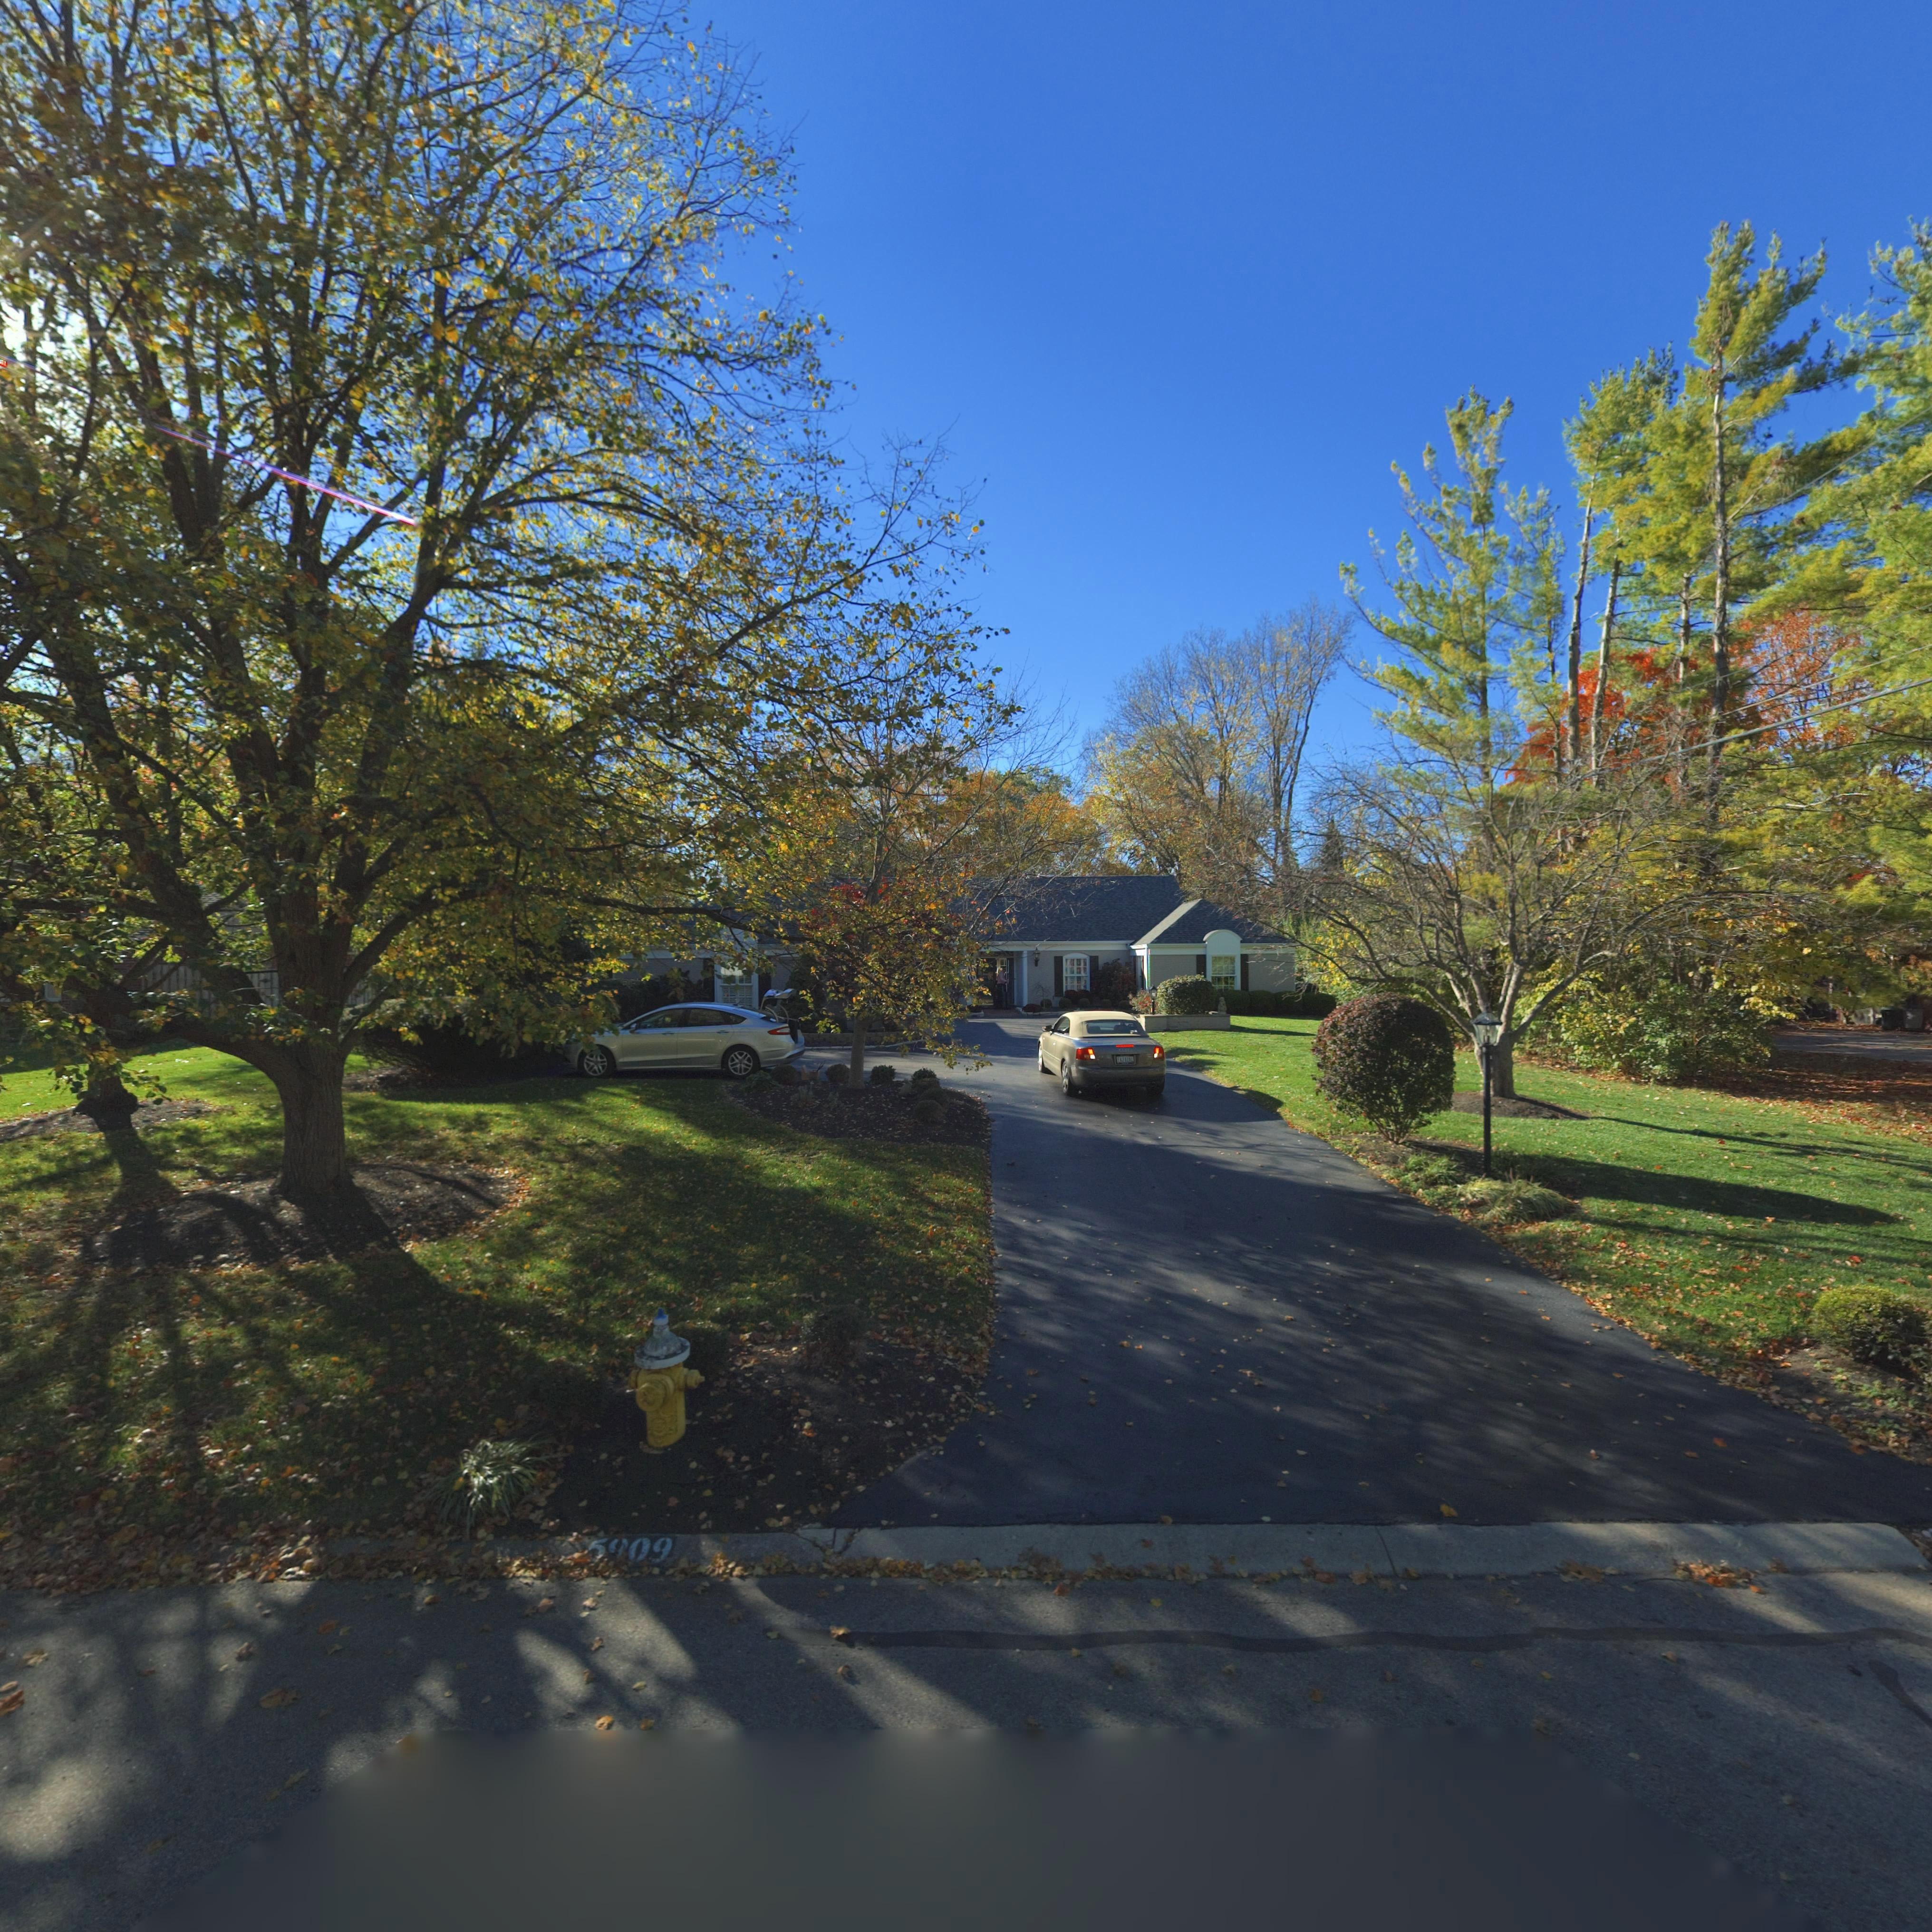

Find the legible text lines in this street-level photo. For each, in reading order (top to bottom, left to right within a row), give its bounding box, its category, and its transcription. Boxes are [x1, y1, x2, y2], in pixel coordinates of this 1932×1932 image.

[1116, 1056, 1133, 1063] StreetNumber: F***6*91
[626, 1536, 675, 1564] StreetNumber: 09